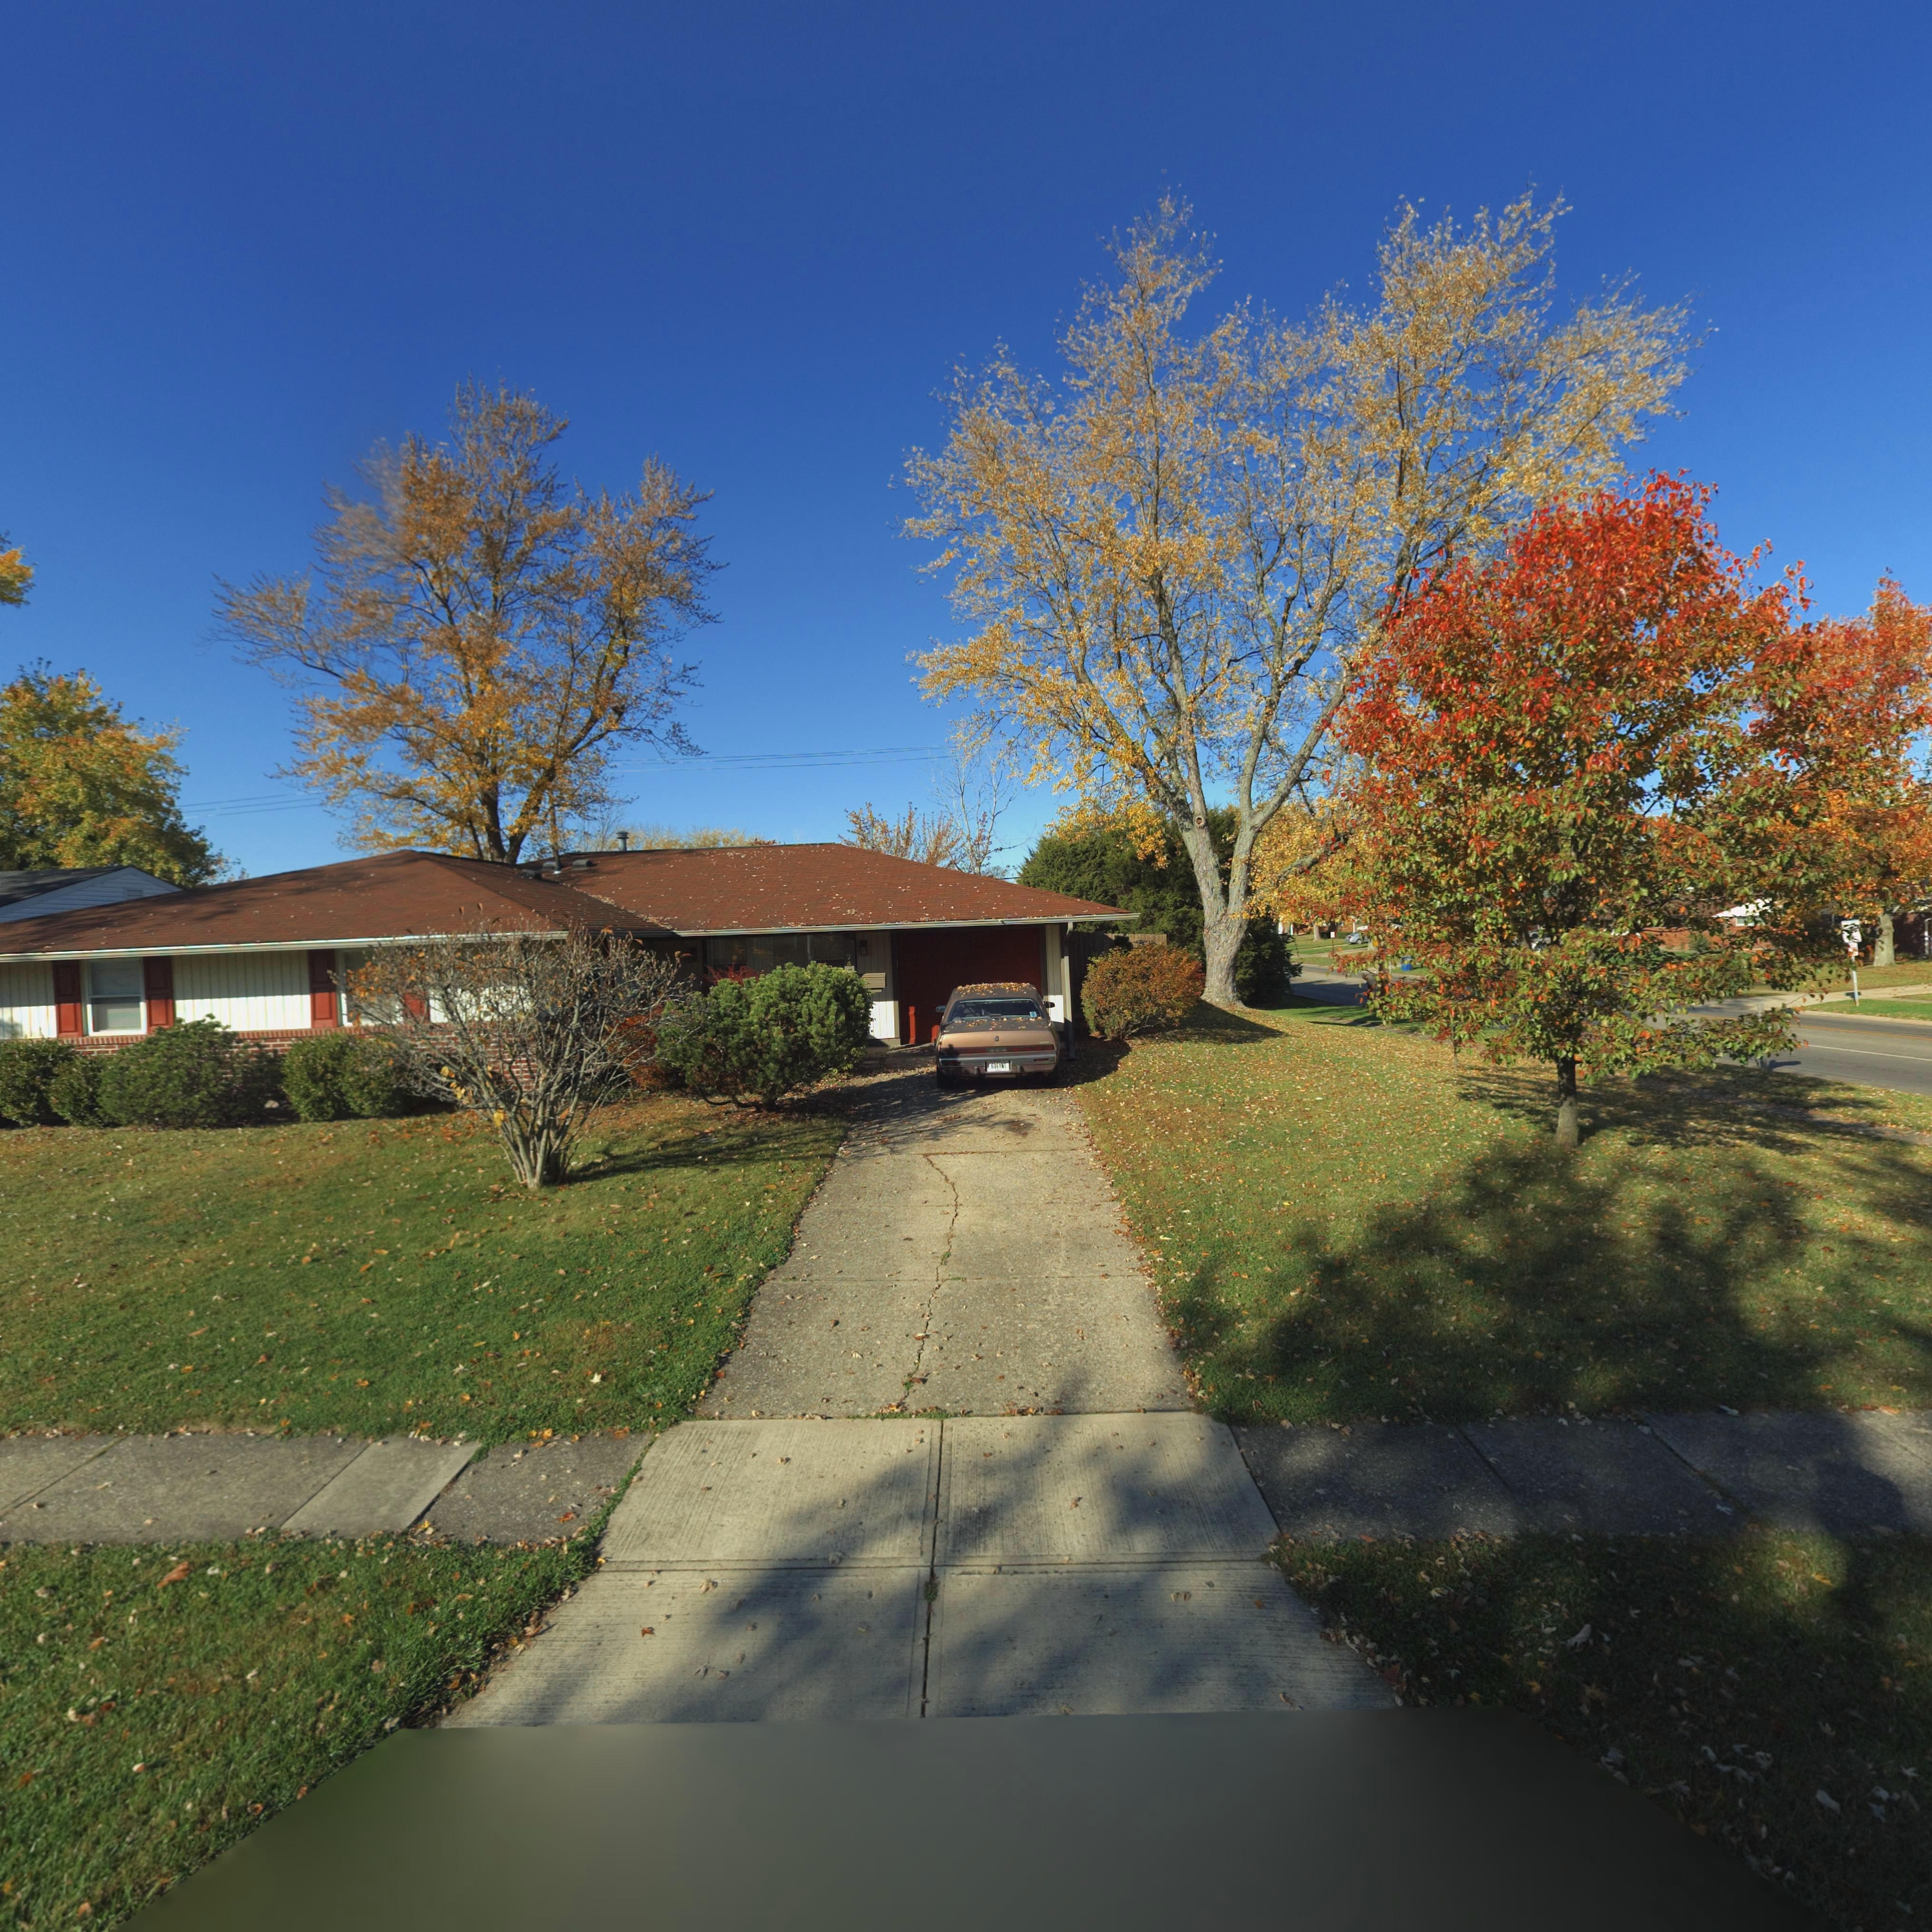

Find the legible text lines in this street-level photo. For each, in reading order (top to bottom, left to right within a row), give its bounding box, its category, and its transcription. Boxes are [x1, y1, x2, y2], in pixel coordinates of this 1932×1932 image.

[845, 953, 853, 968] StreetNumber: 74